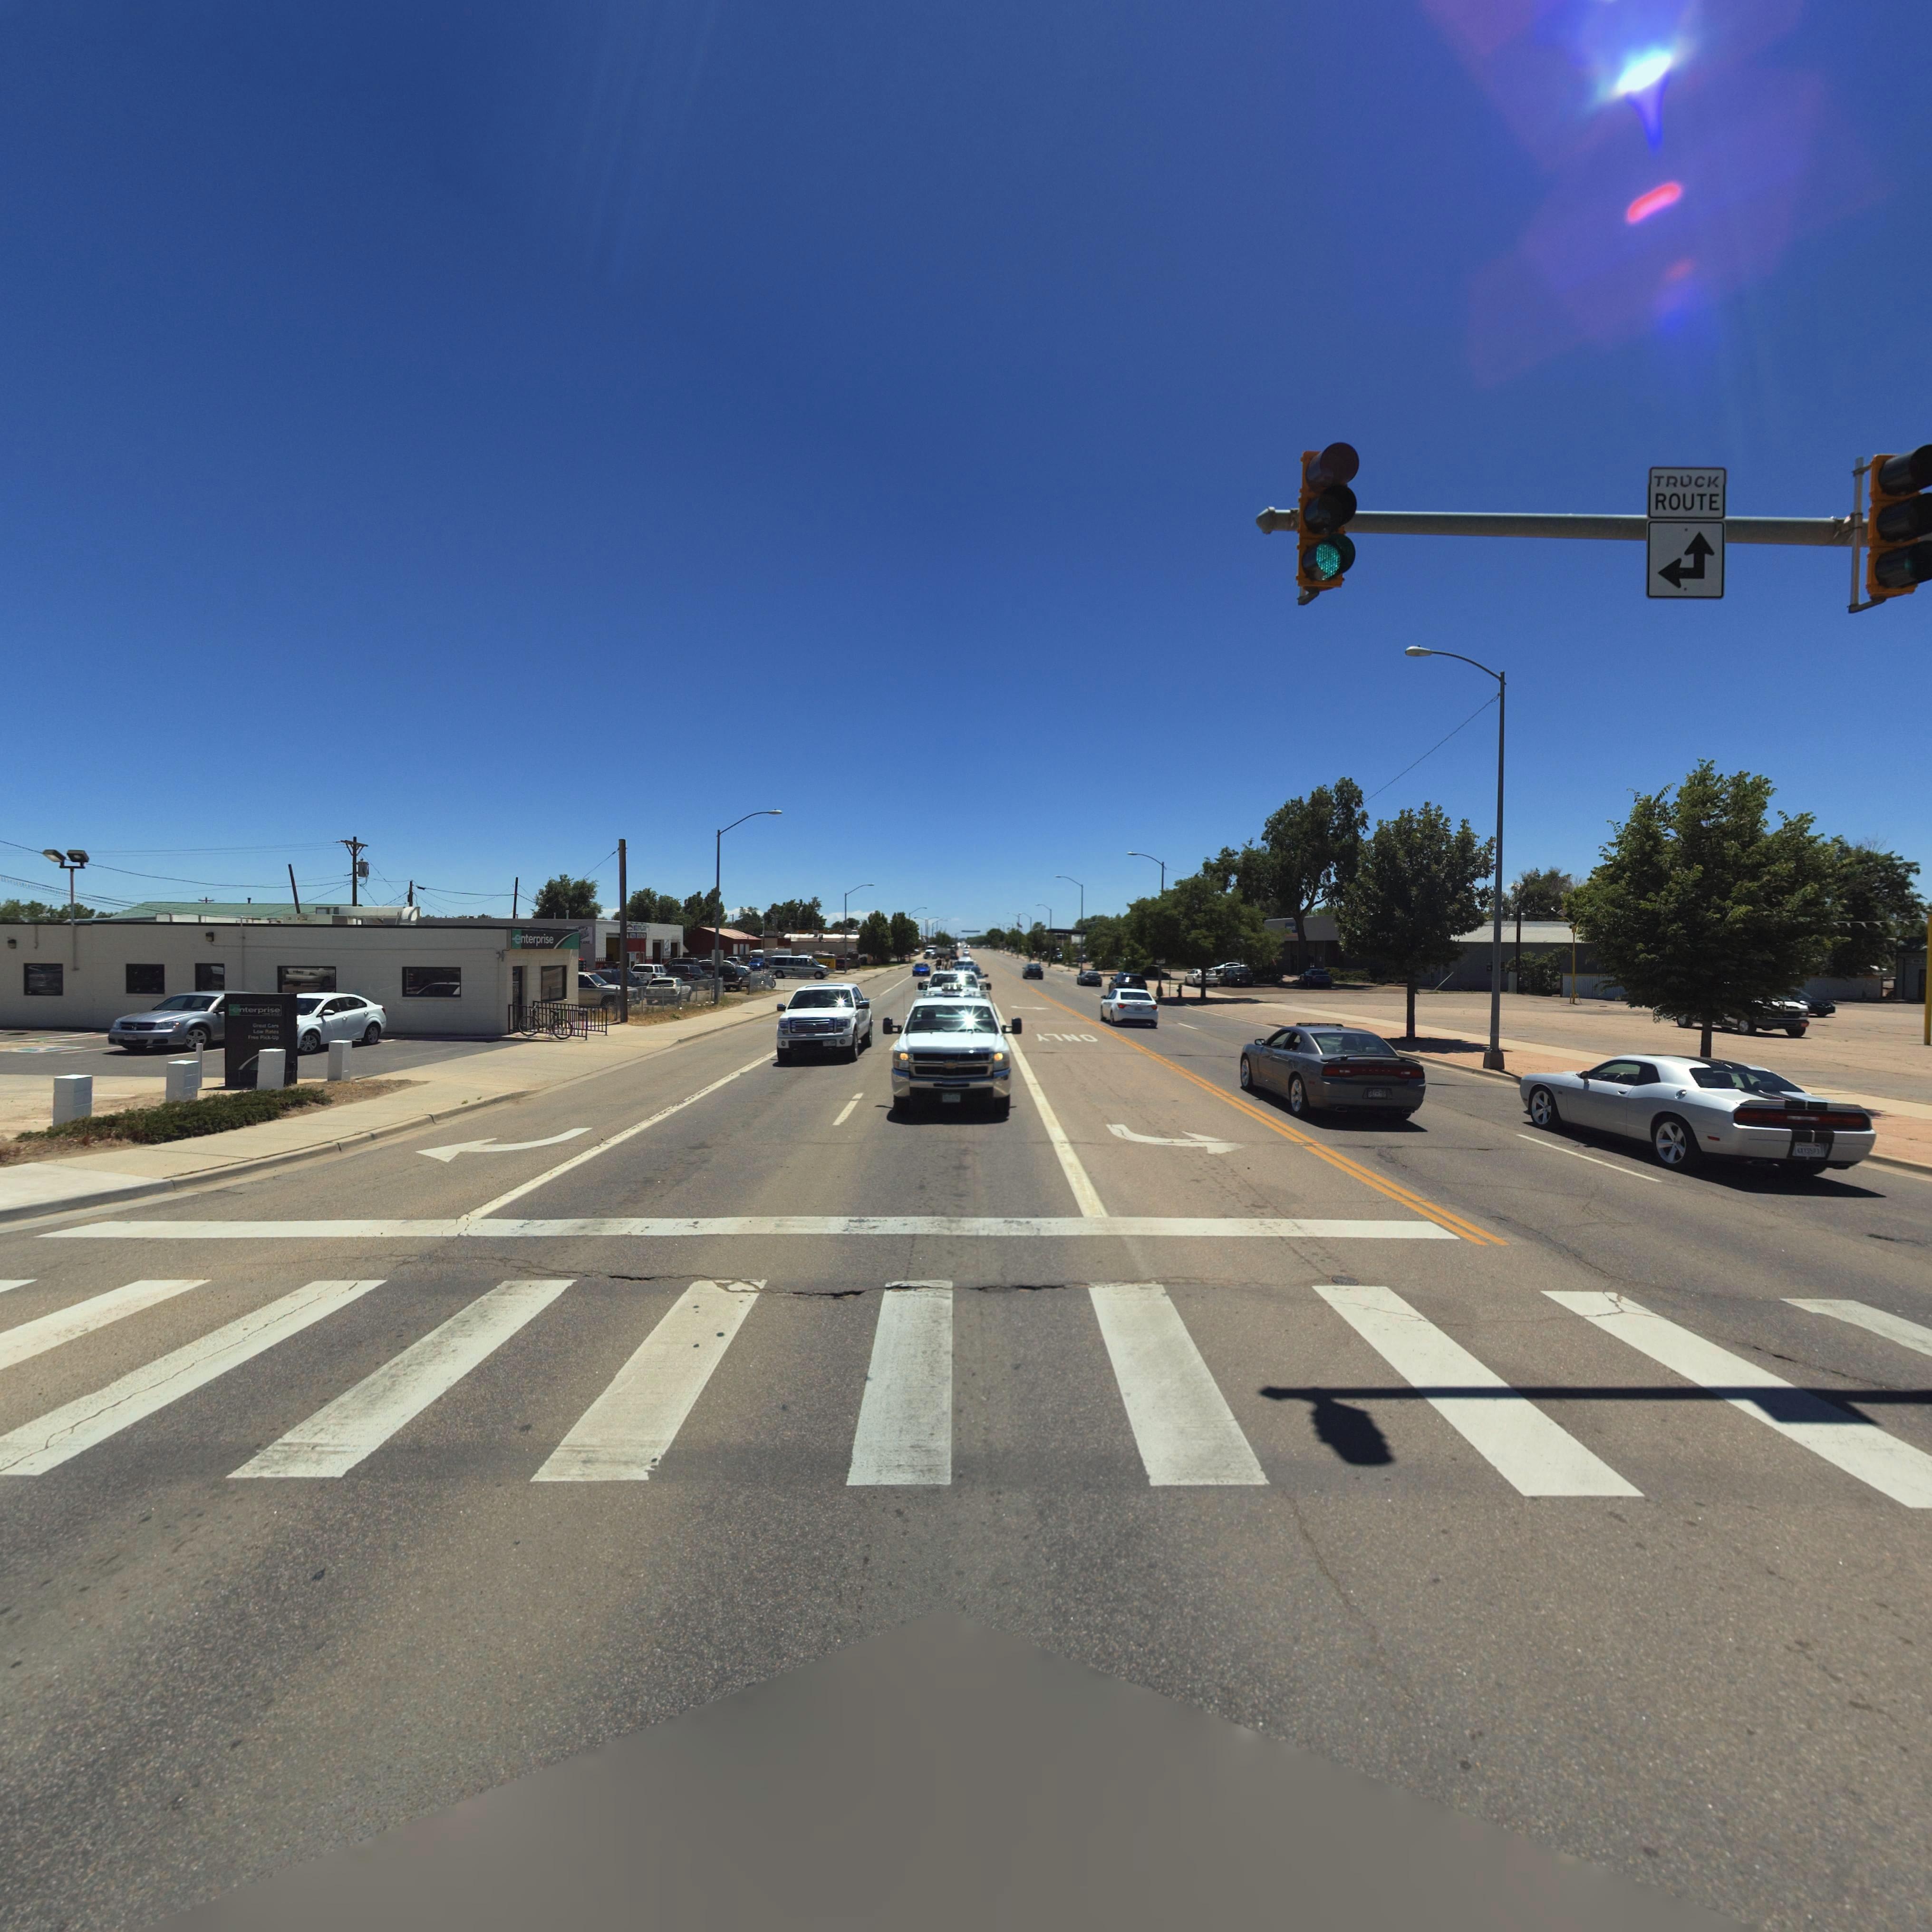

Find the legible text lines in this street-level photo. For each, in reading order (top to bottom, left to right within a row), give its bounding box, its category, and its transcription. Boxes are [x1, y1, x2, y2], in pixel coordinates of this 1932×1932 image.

[575, 926, 588, 930] BusinessName: *o**s
[514, 933, 554, 947] BusinessName: enterprise
[580, 940, 590, 944] BusinessName: ***s
[232, 1006, 281, 1014] BusinessName: enterprise